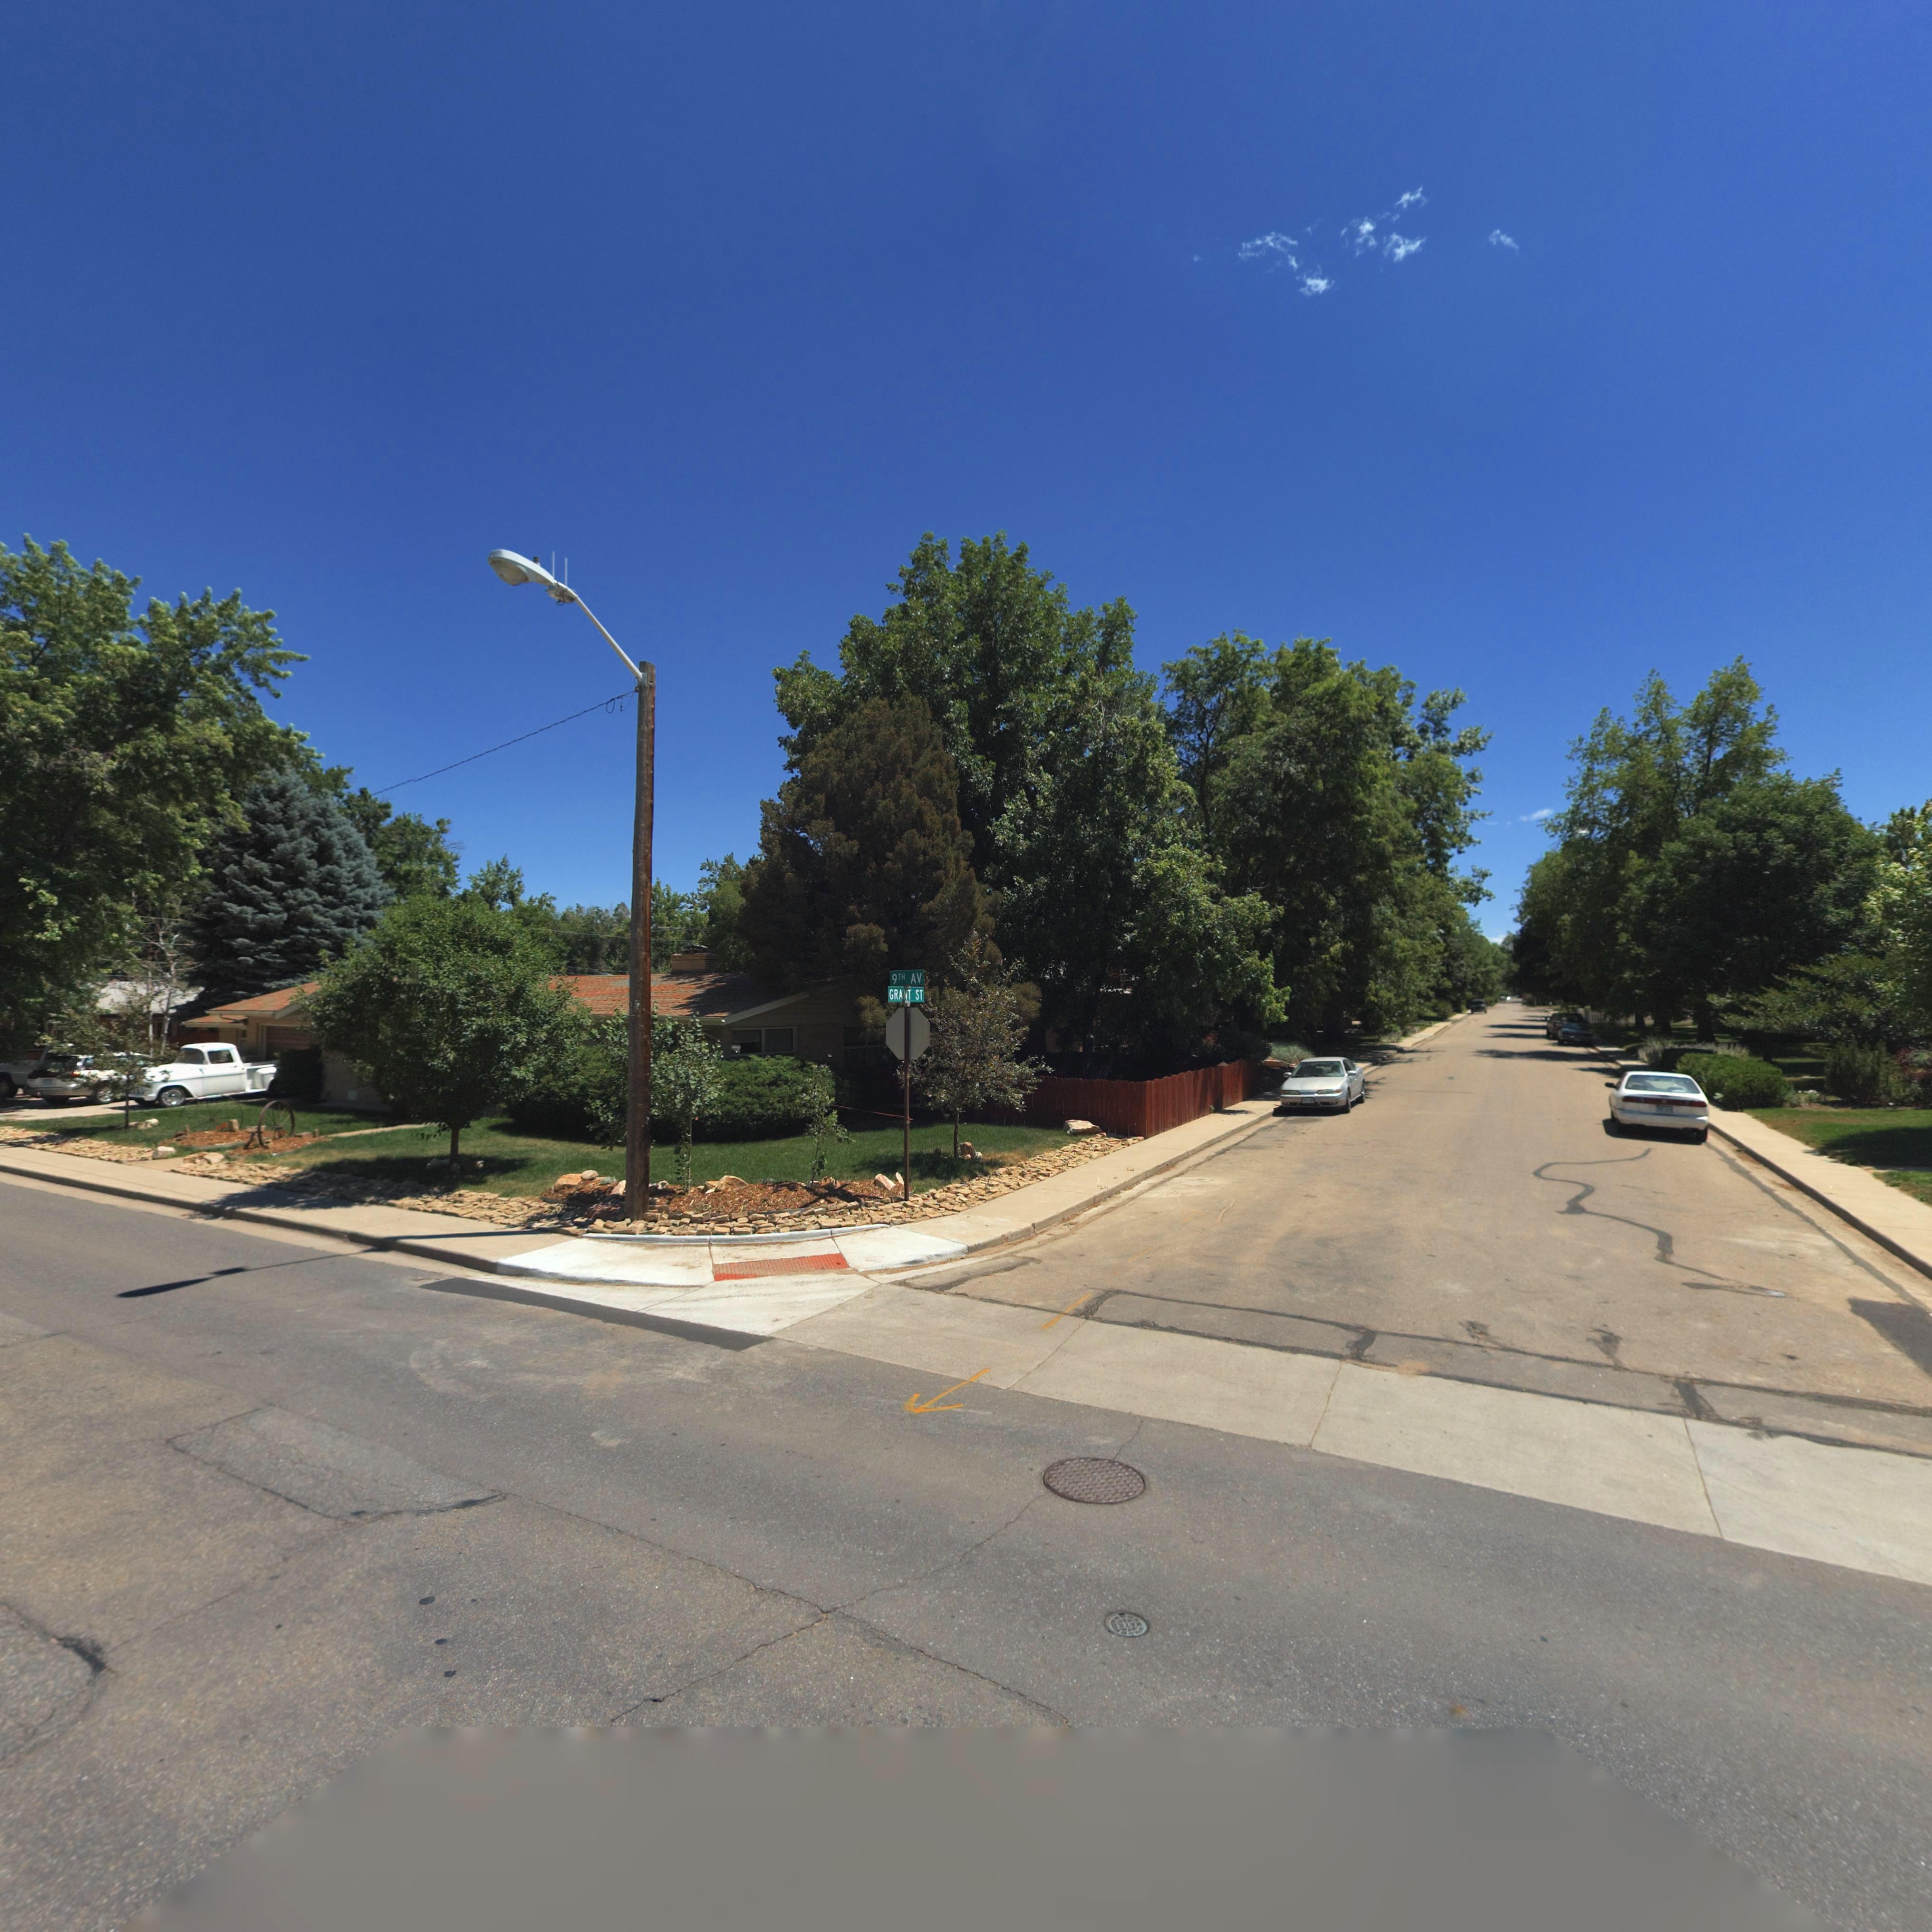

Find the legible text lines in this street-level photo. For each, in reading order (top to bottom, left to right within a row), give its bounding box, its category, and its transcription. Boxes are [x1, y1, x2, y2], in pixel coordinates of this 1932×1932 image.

[891, 972, 922, 984] StreetName: 9TH AV
[889, 988, 923, 1000] StreetName: GRANT ST